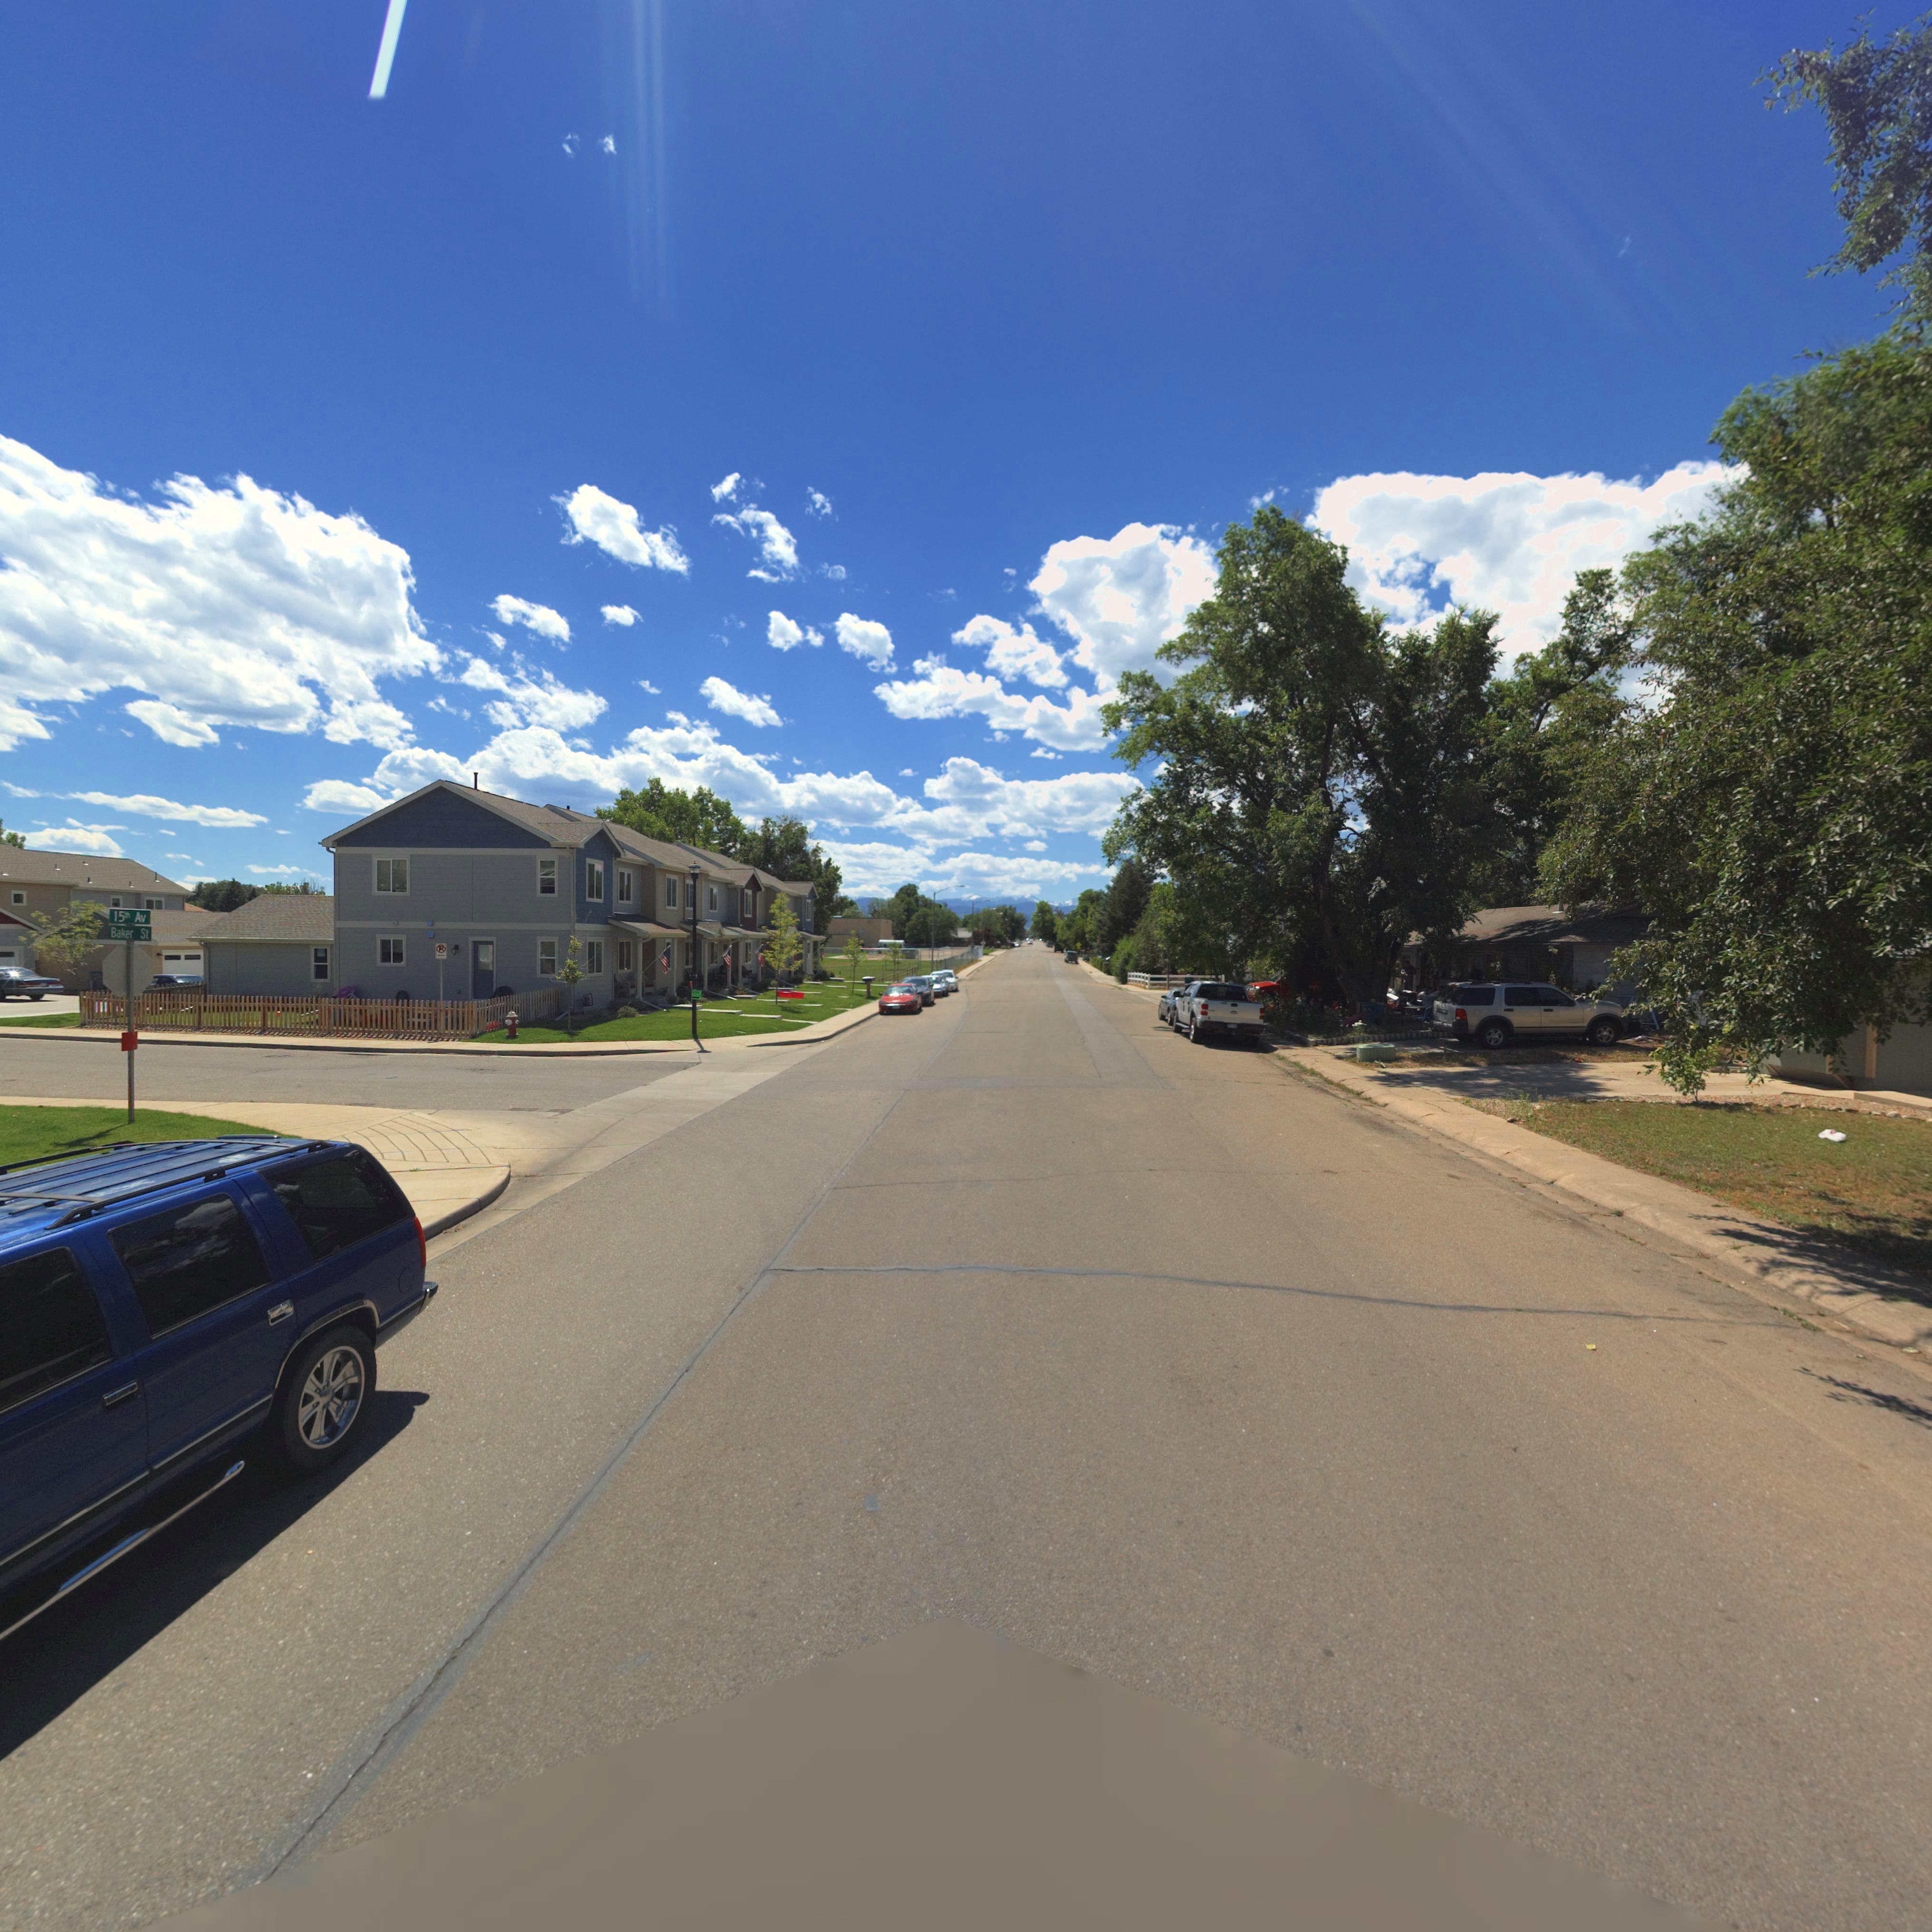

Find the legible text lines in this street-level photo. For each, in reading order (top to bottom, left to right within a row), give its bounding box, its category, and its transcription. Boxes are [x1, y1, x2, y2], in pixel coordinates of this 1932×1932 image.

[113, 910, 146, 922] StreetName: 15** Av
[110, 927, 149, 939] StreetName: Baker St